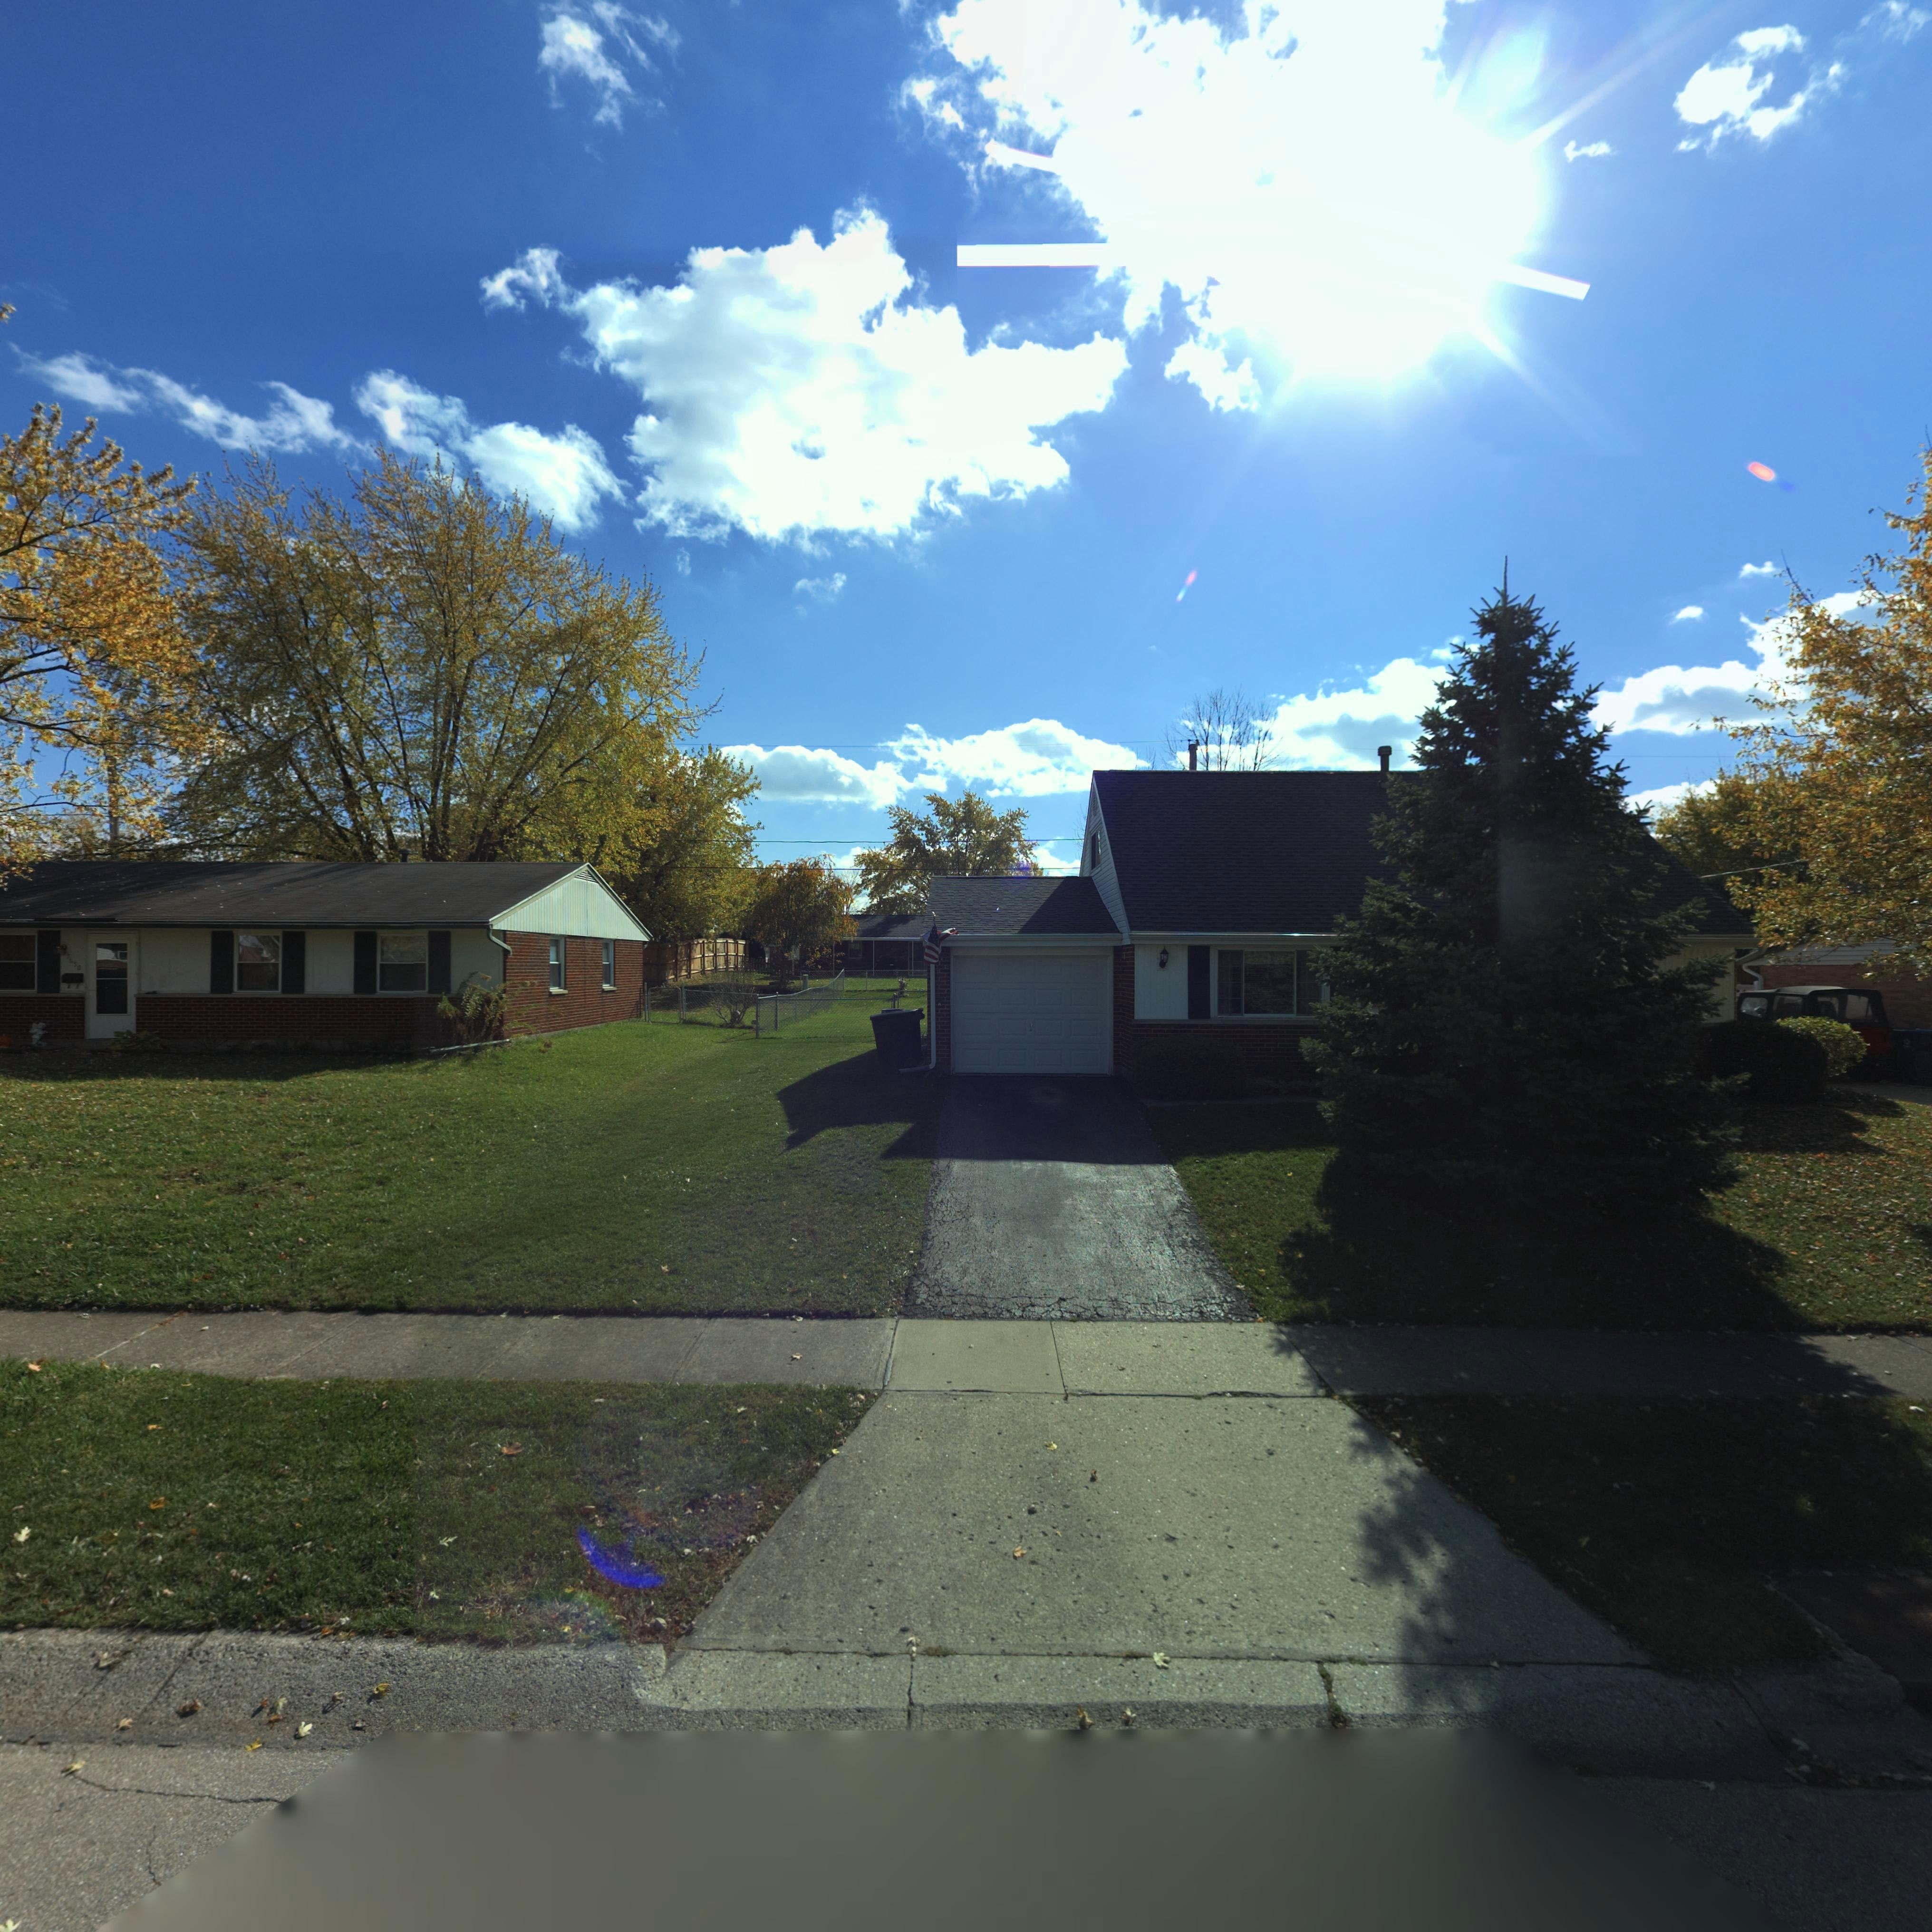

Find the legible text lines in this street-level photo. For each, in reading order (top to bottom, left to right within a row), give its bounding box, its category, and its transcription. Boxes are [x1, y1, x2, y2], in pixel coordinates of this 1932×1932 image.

[65, 953, 82, 971] StreetNumber: 7650